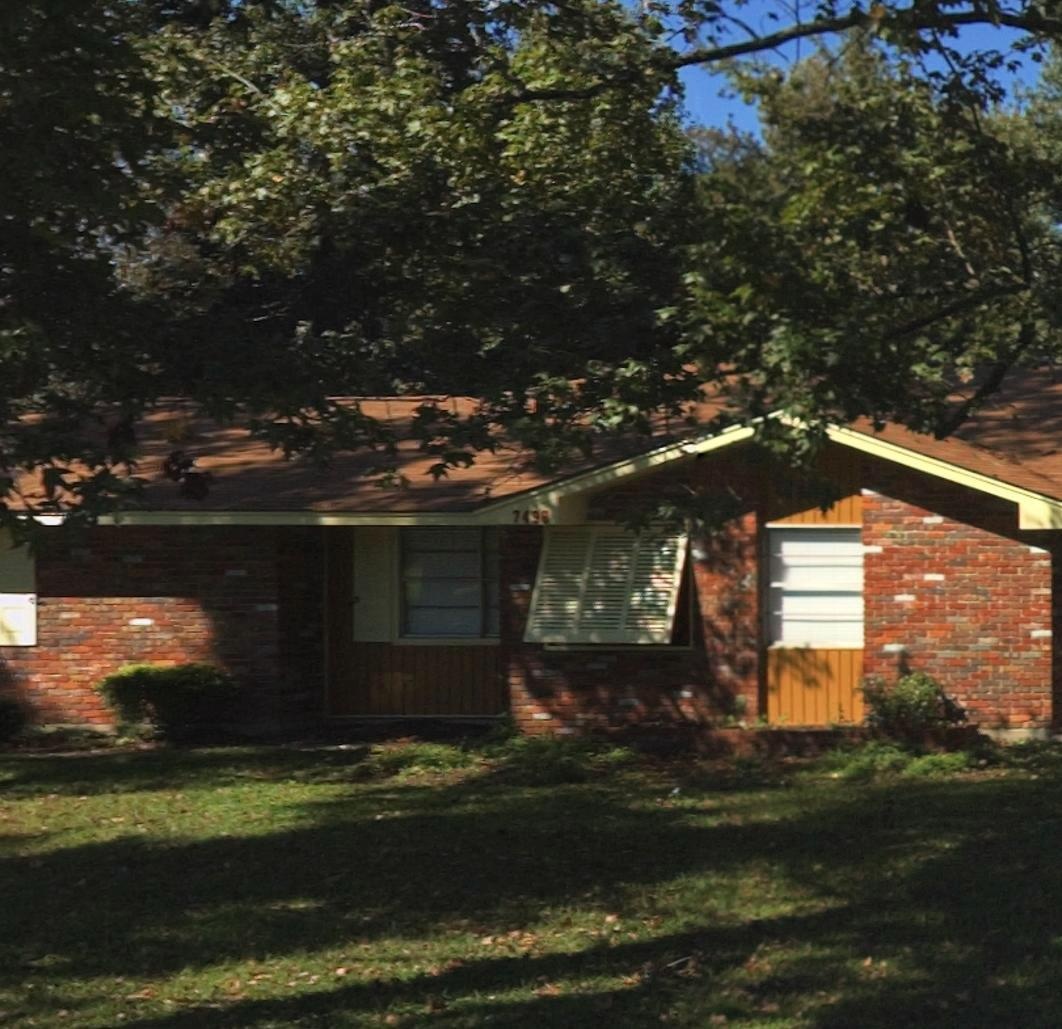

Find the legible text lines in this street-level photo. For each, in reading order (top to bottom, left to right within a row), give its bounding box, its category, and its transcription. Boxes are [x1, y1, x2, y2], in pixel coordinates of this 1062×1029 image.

[512, 510, 550, 525] StreetNumber: 7498